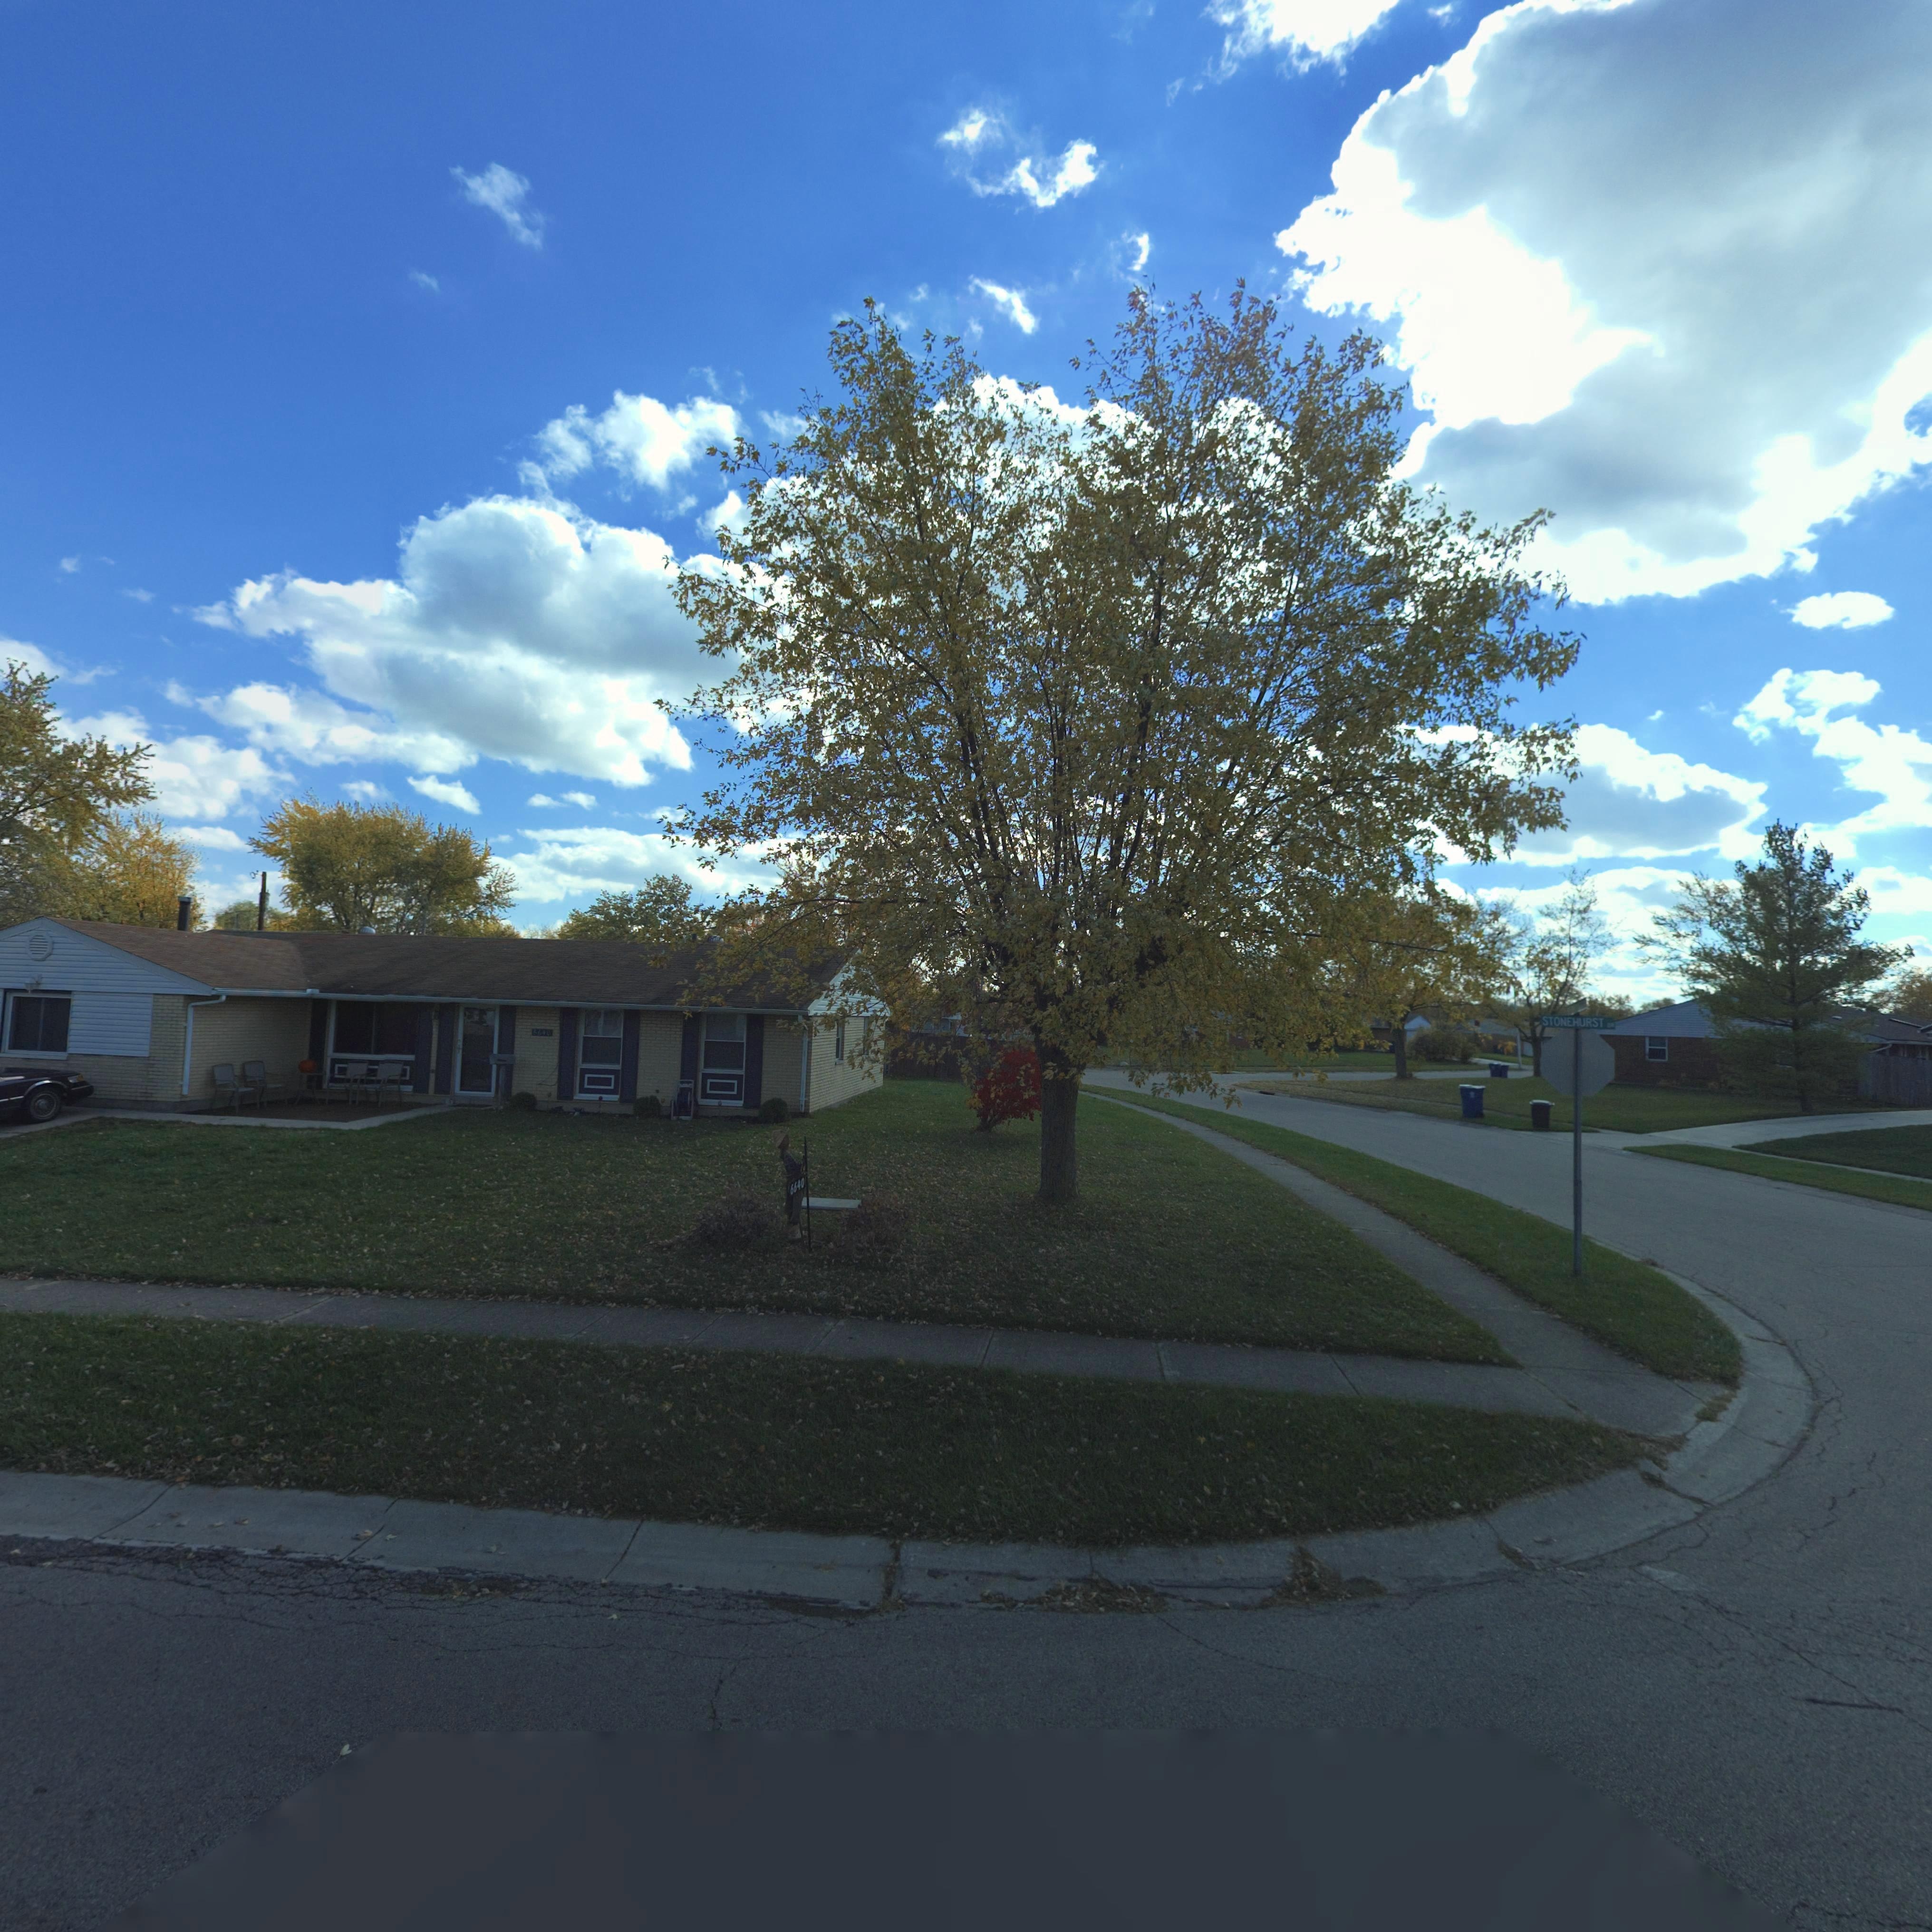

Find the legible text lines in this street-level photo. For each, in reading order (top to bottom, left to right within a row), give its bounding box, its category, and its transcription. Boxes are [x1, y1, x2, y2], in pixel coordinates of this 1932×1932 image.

[1542, 1016, 1605, 1028] StreetName: STONEHURST
[532, 1028, 551, 1036] StreetNumber: 6640
[790, 1177, 805, 1196] StreetNumber: 6640